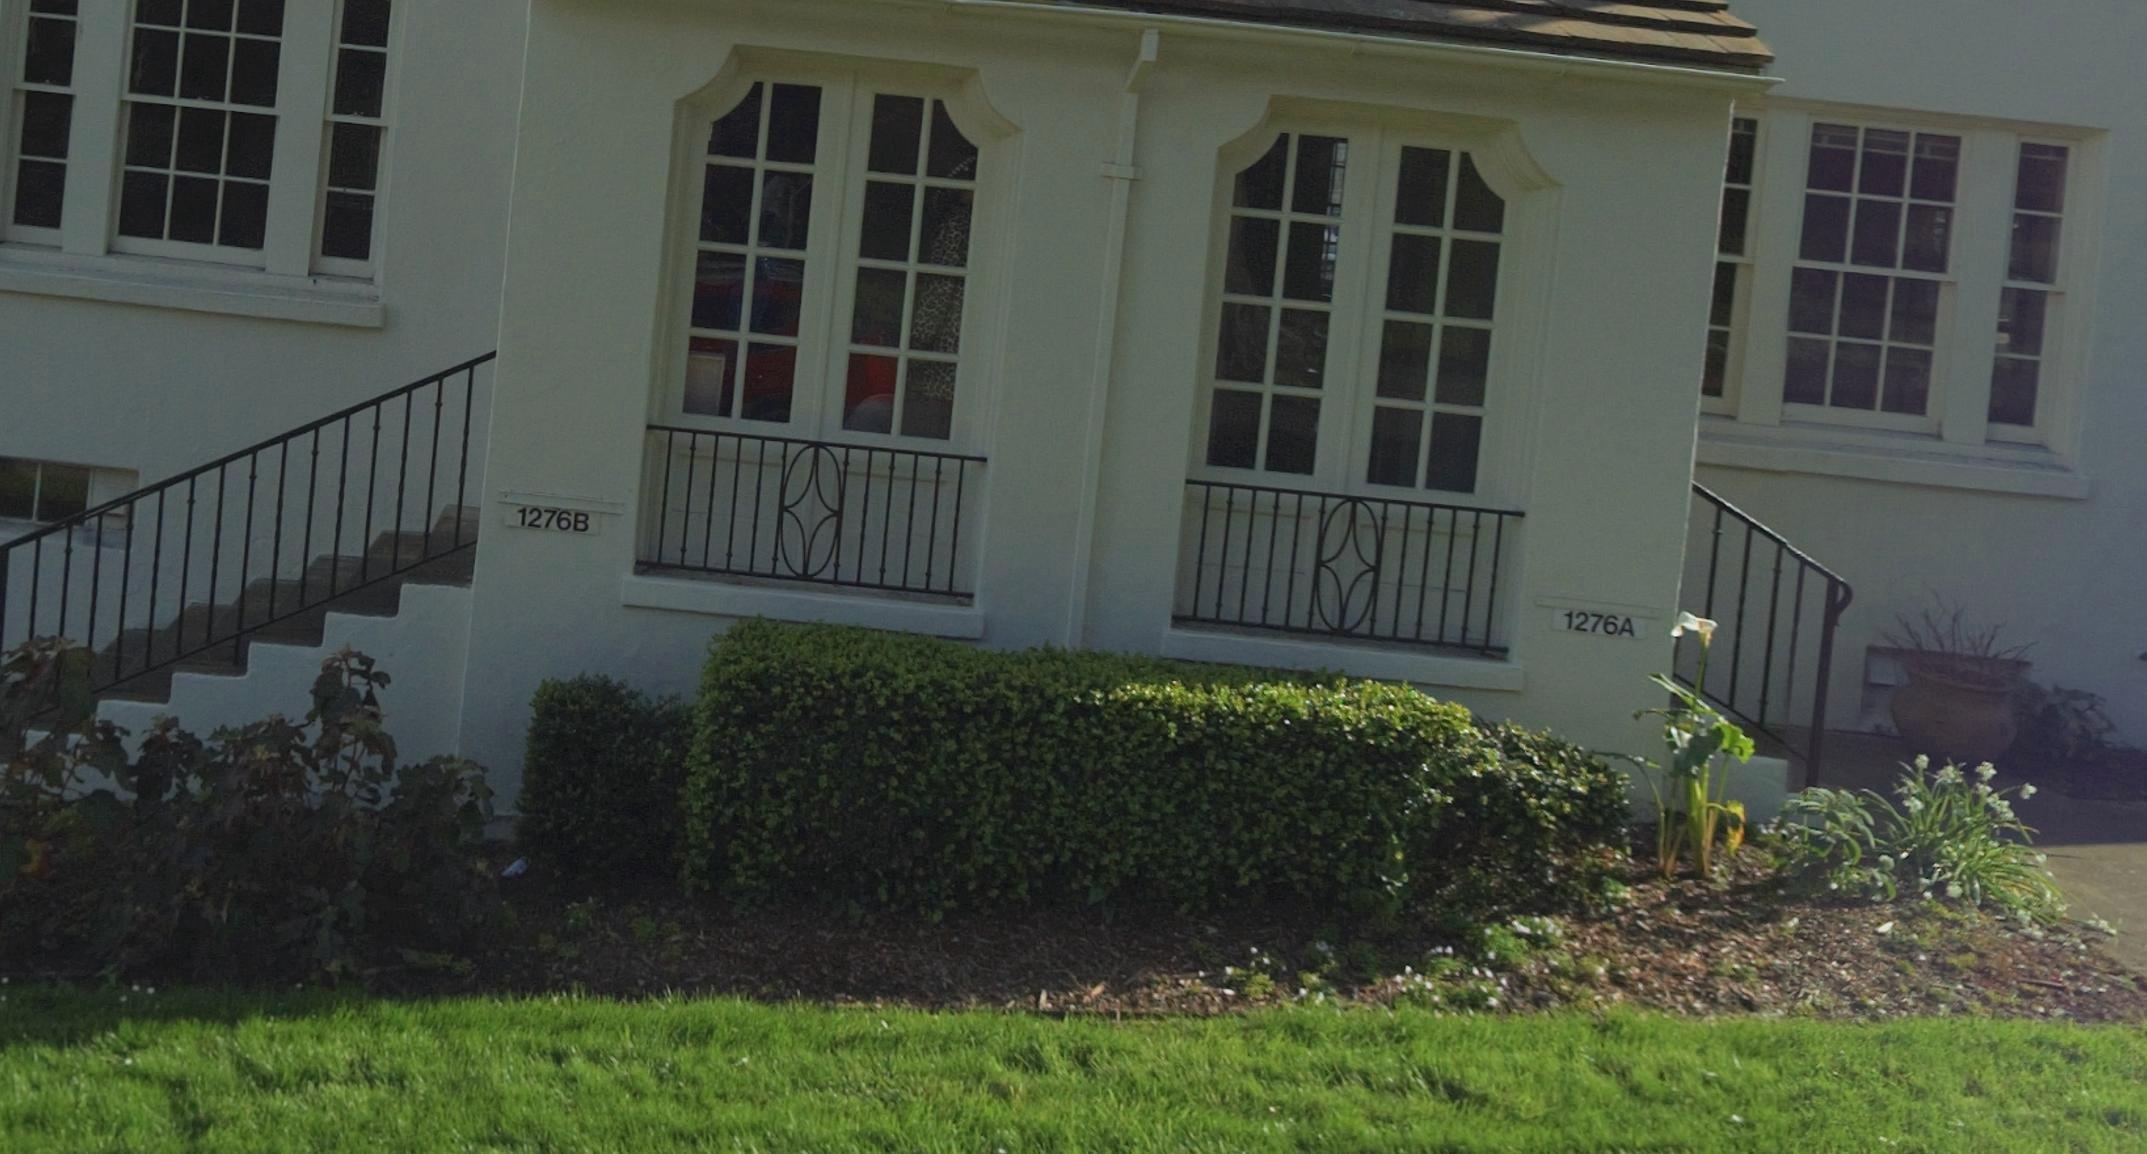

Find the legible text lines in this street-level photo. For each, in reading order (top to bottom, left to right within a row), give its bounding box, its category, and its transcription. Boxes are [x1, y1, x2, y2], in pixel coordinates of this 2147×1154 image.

[514, 504, 591, 534] StreetNumber: 1276B
[1561, 609, 1638, 639] StreetNumber: 1276A